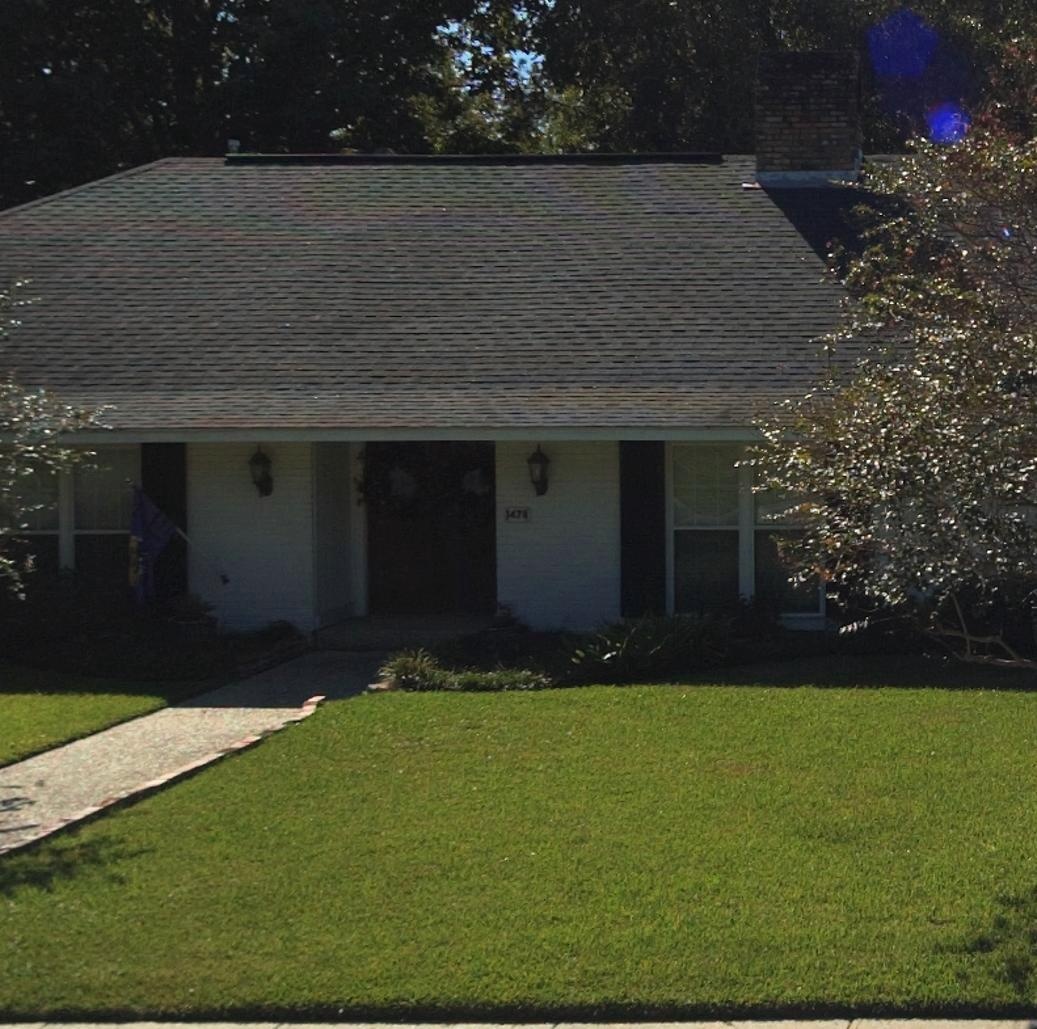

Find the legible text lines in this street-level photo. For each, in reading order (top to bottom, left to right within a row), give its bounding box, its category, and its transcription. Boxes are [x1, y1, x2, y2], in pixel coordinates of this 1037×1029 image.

[503, 507, 530, 523] StreetNumber: 1478